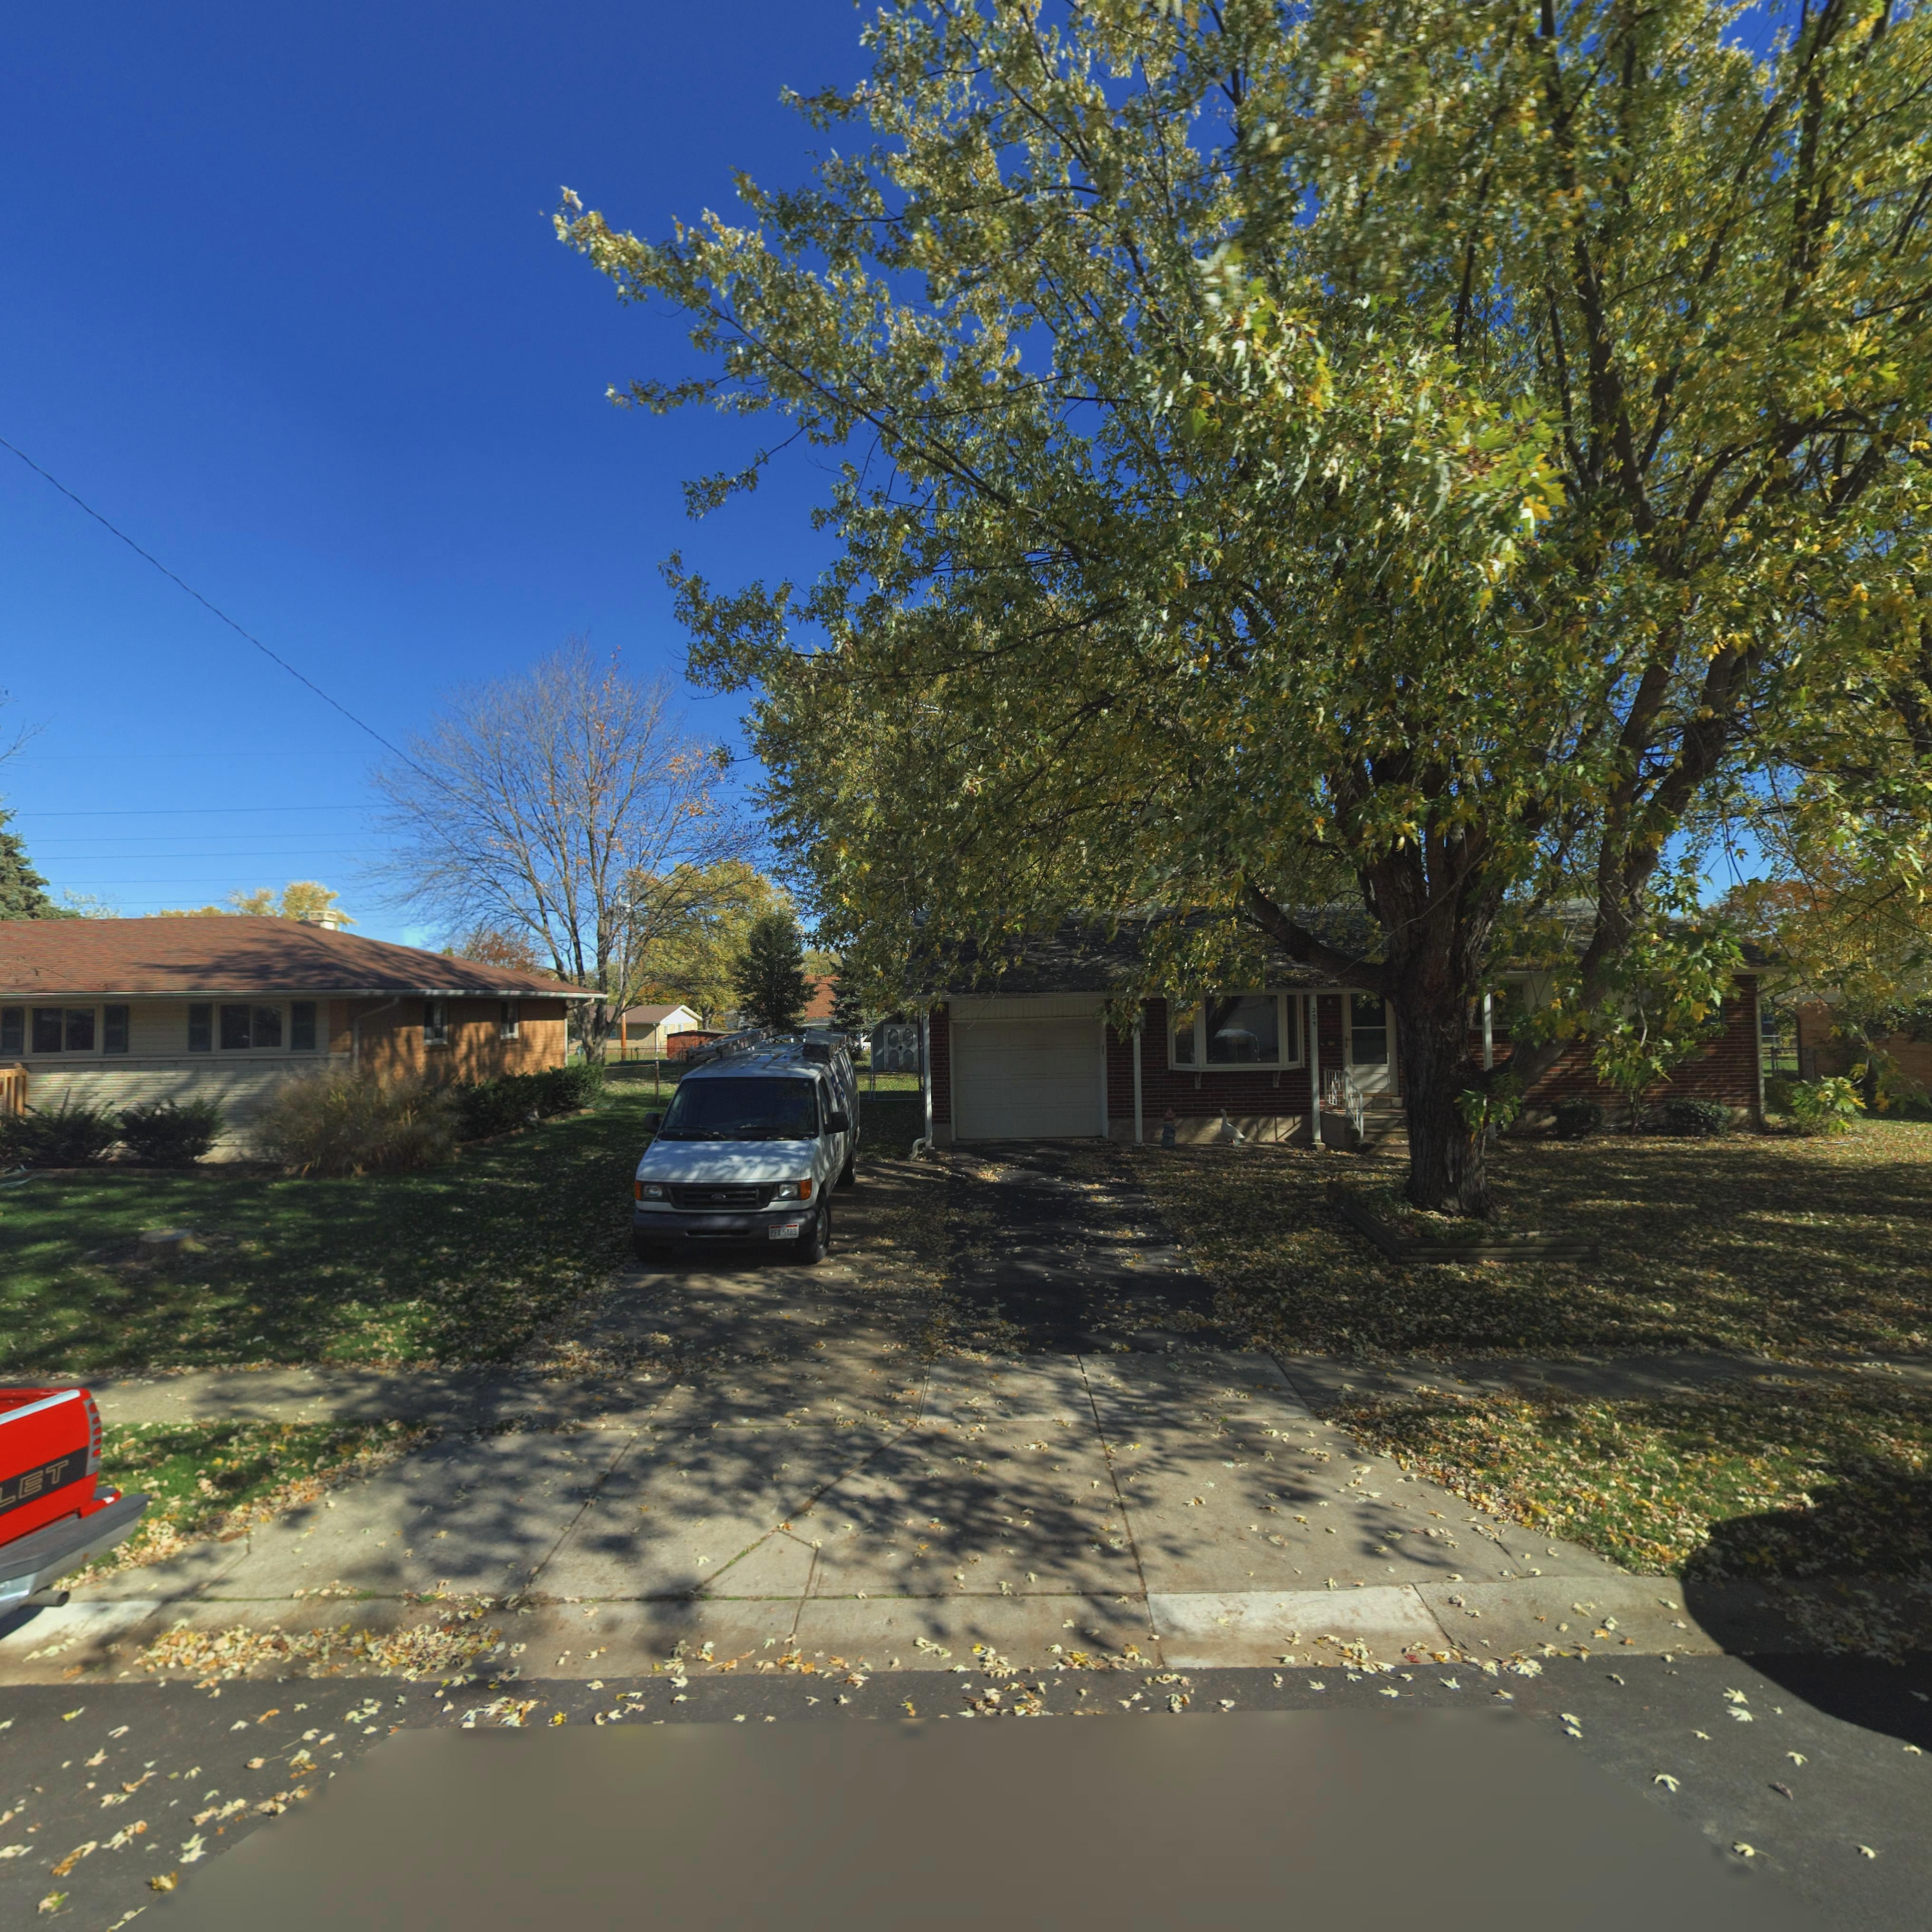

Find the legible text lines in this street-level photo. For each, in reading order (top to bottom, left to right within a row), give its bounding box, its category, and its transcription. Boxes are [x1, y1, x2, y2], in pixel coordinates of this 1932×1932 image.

[1311, 1007, 1316, 1027] StreetNumber: 205